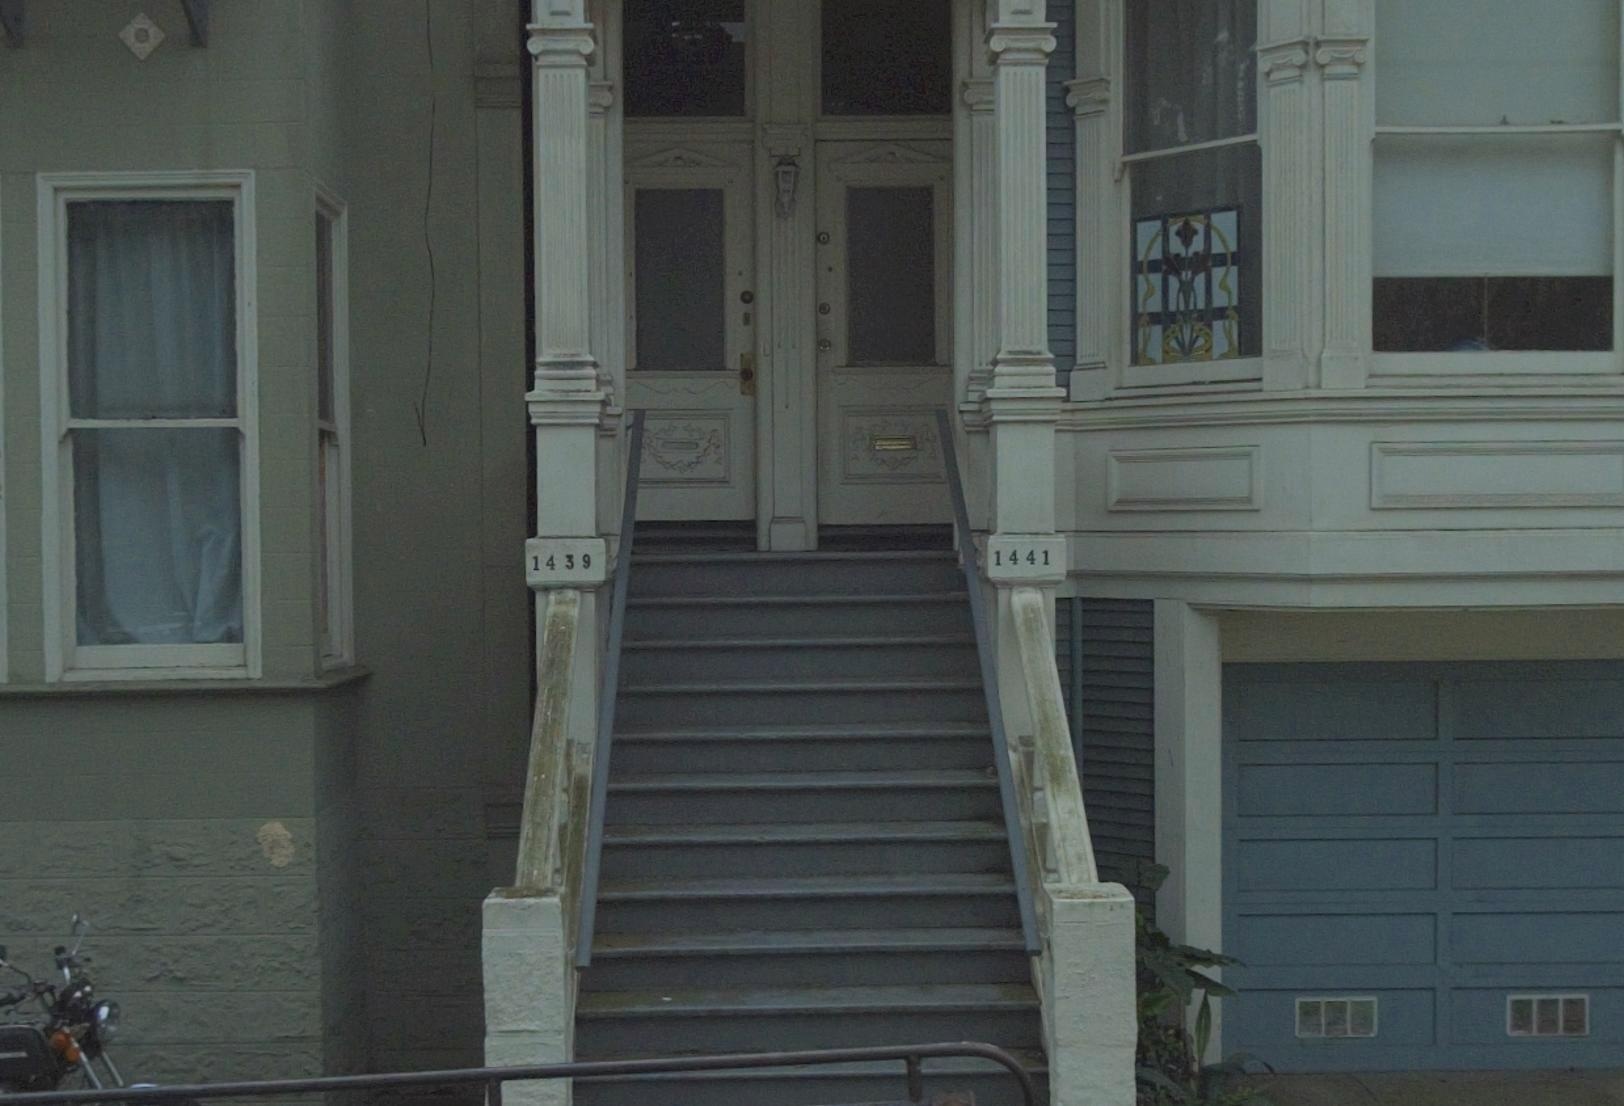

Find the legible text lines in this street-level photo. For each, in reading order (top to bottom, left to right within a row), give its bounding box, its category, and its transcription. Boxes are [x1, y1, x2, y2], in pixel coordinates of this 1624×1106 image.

[529, 551, 594, 575] StreetNumber: 1439
[991, 546, 1052, 569] StreetNumber: 1441